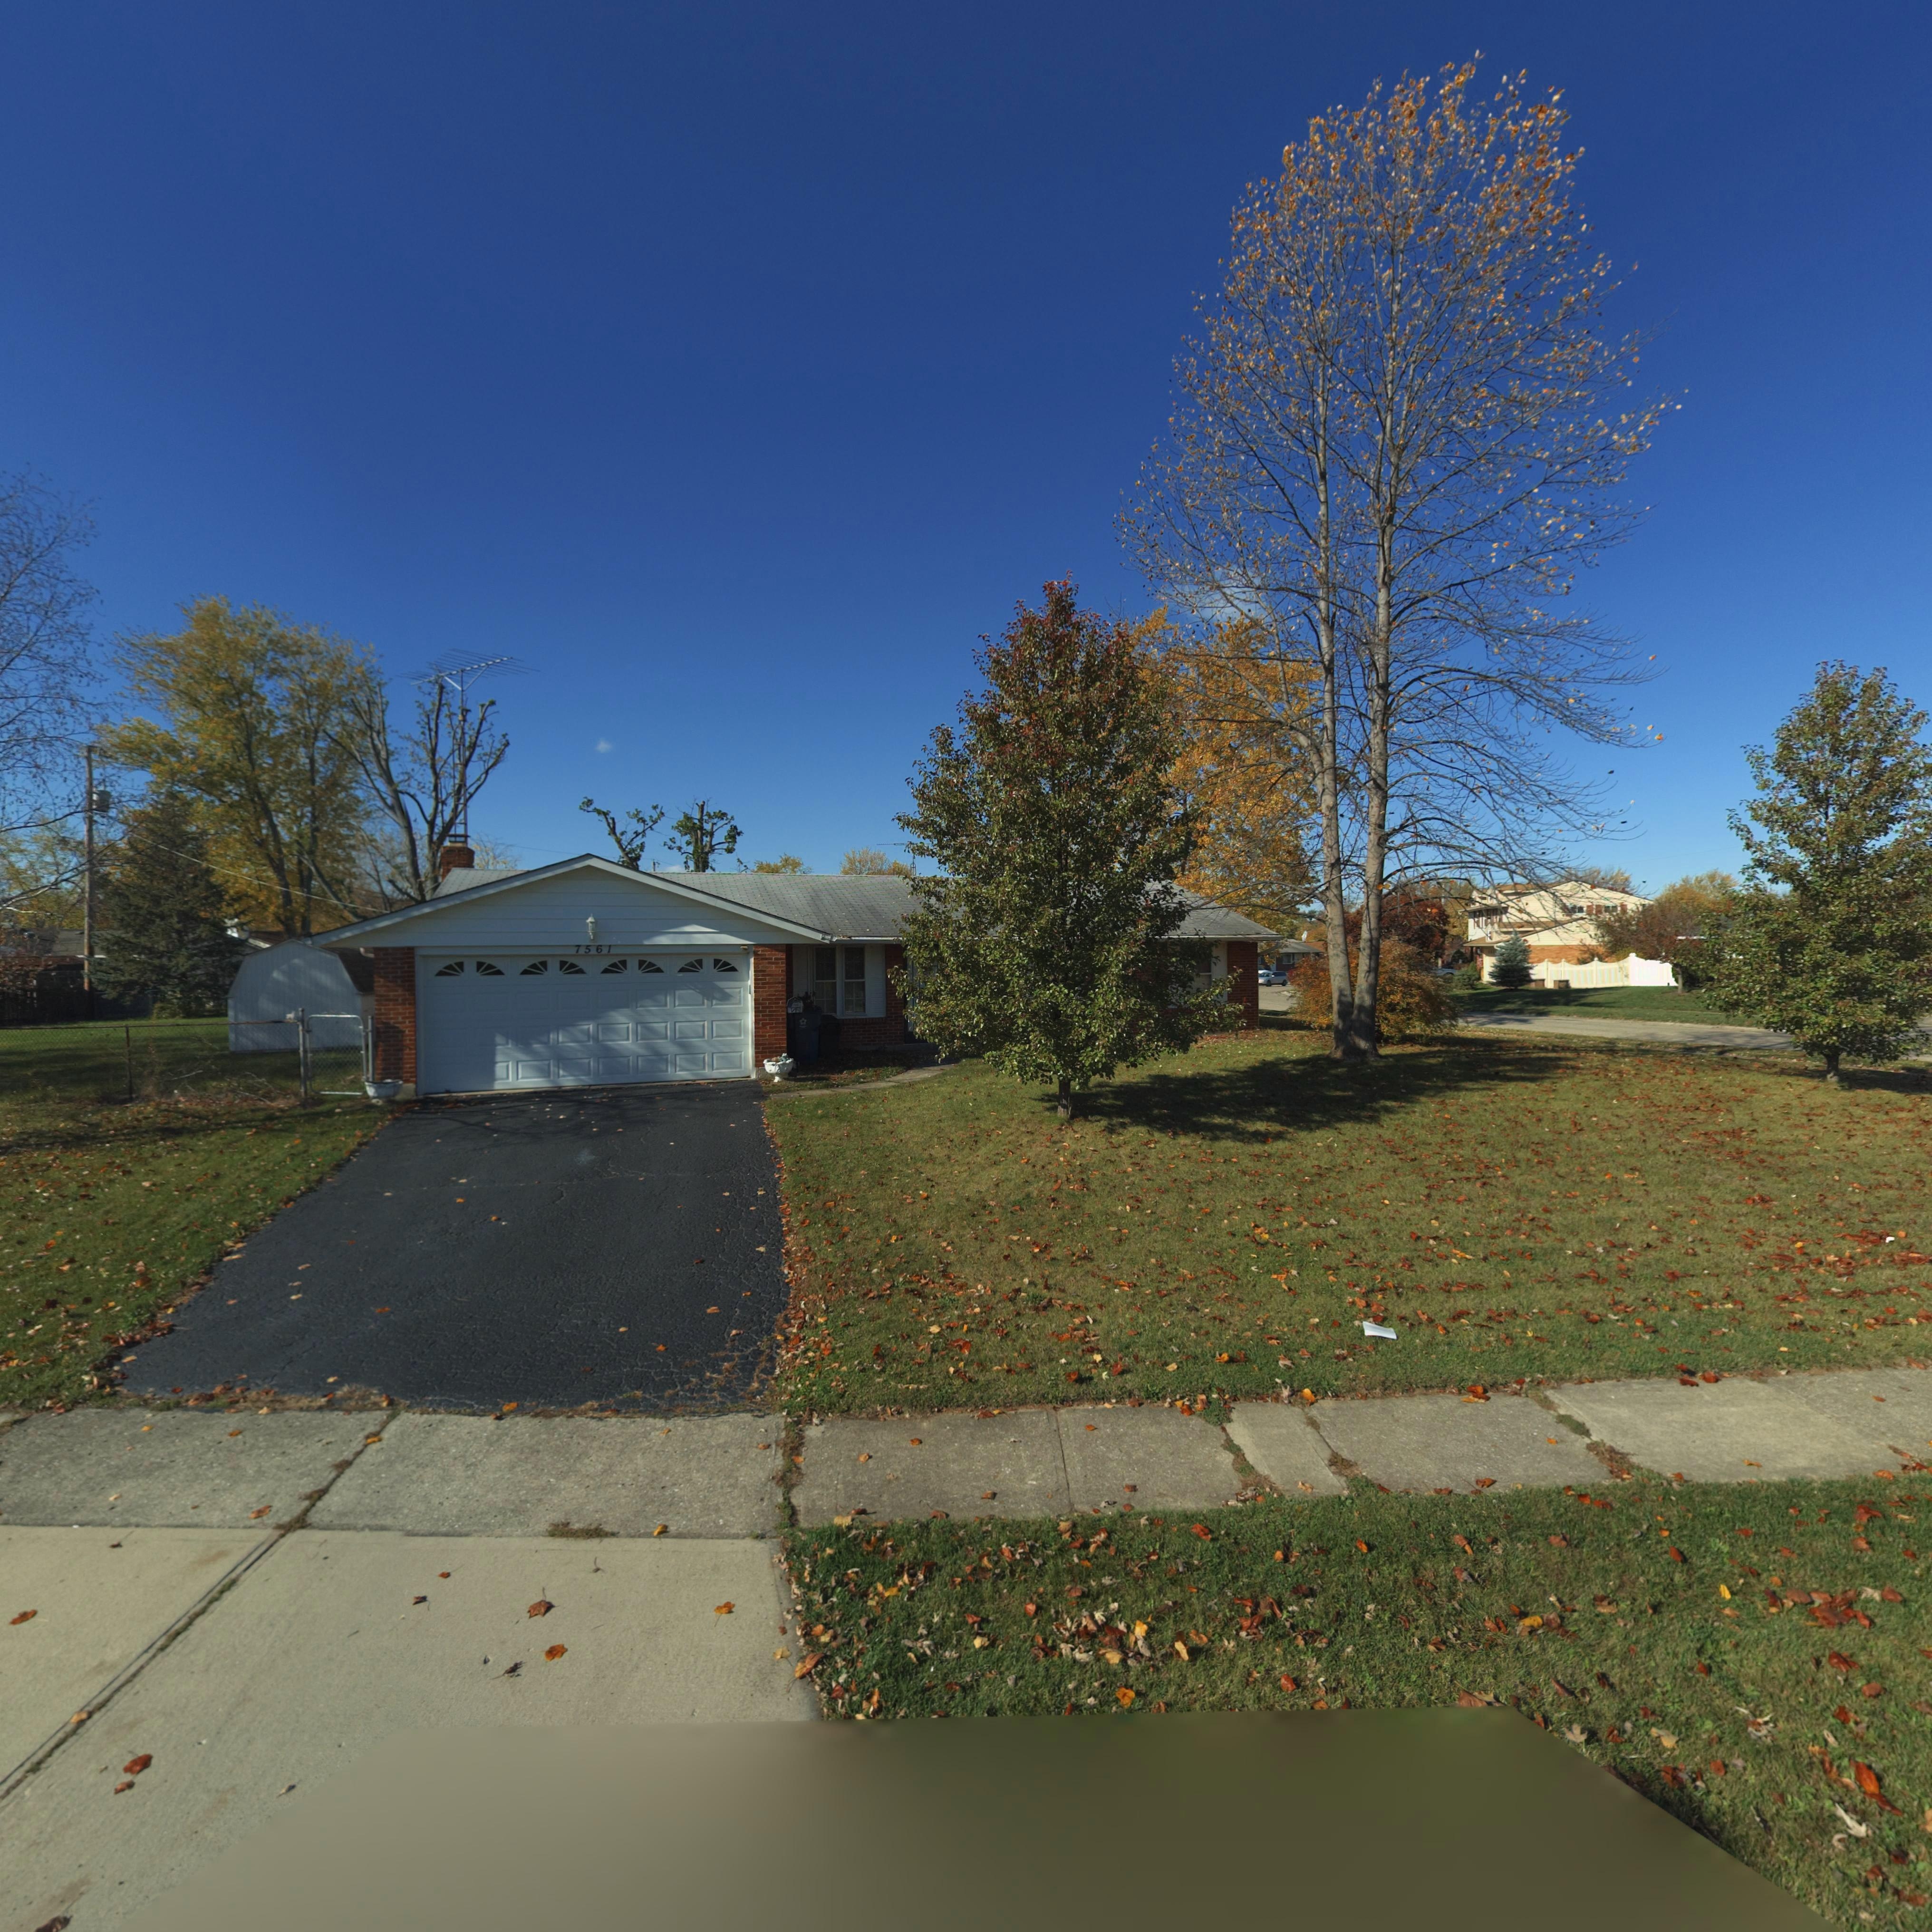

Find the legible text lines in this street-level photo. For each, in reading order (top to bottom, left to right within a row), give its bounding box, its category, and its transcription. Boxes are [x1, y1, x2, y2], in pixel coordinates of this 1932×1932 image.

[574, 944, 613, 954] StreetNumber: 7561